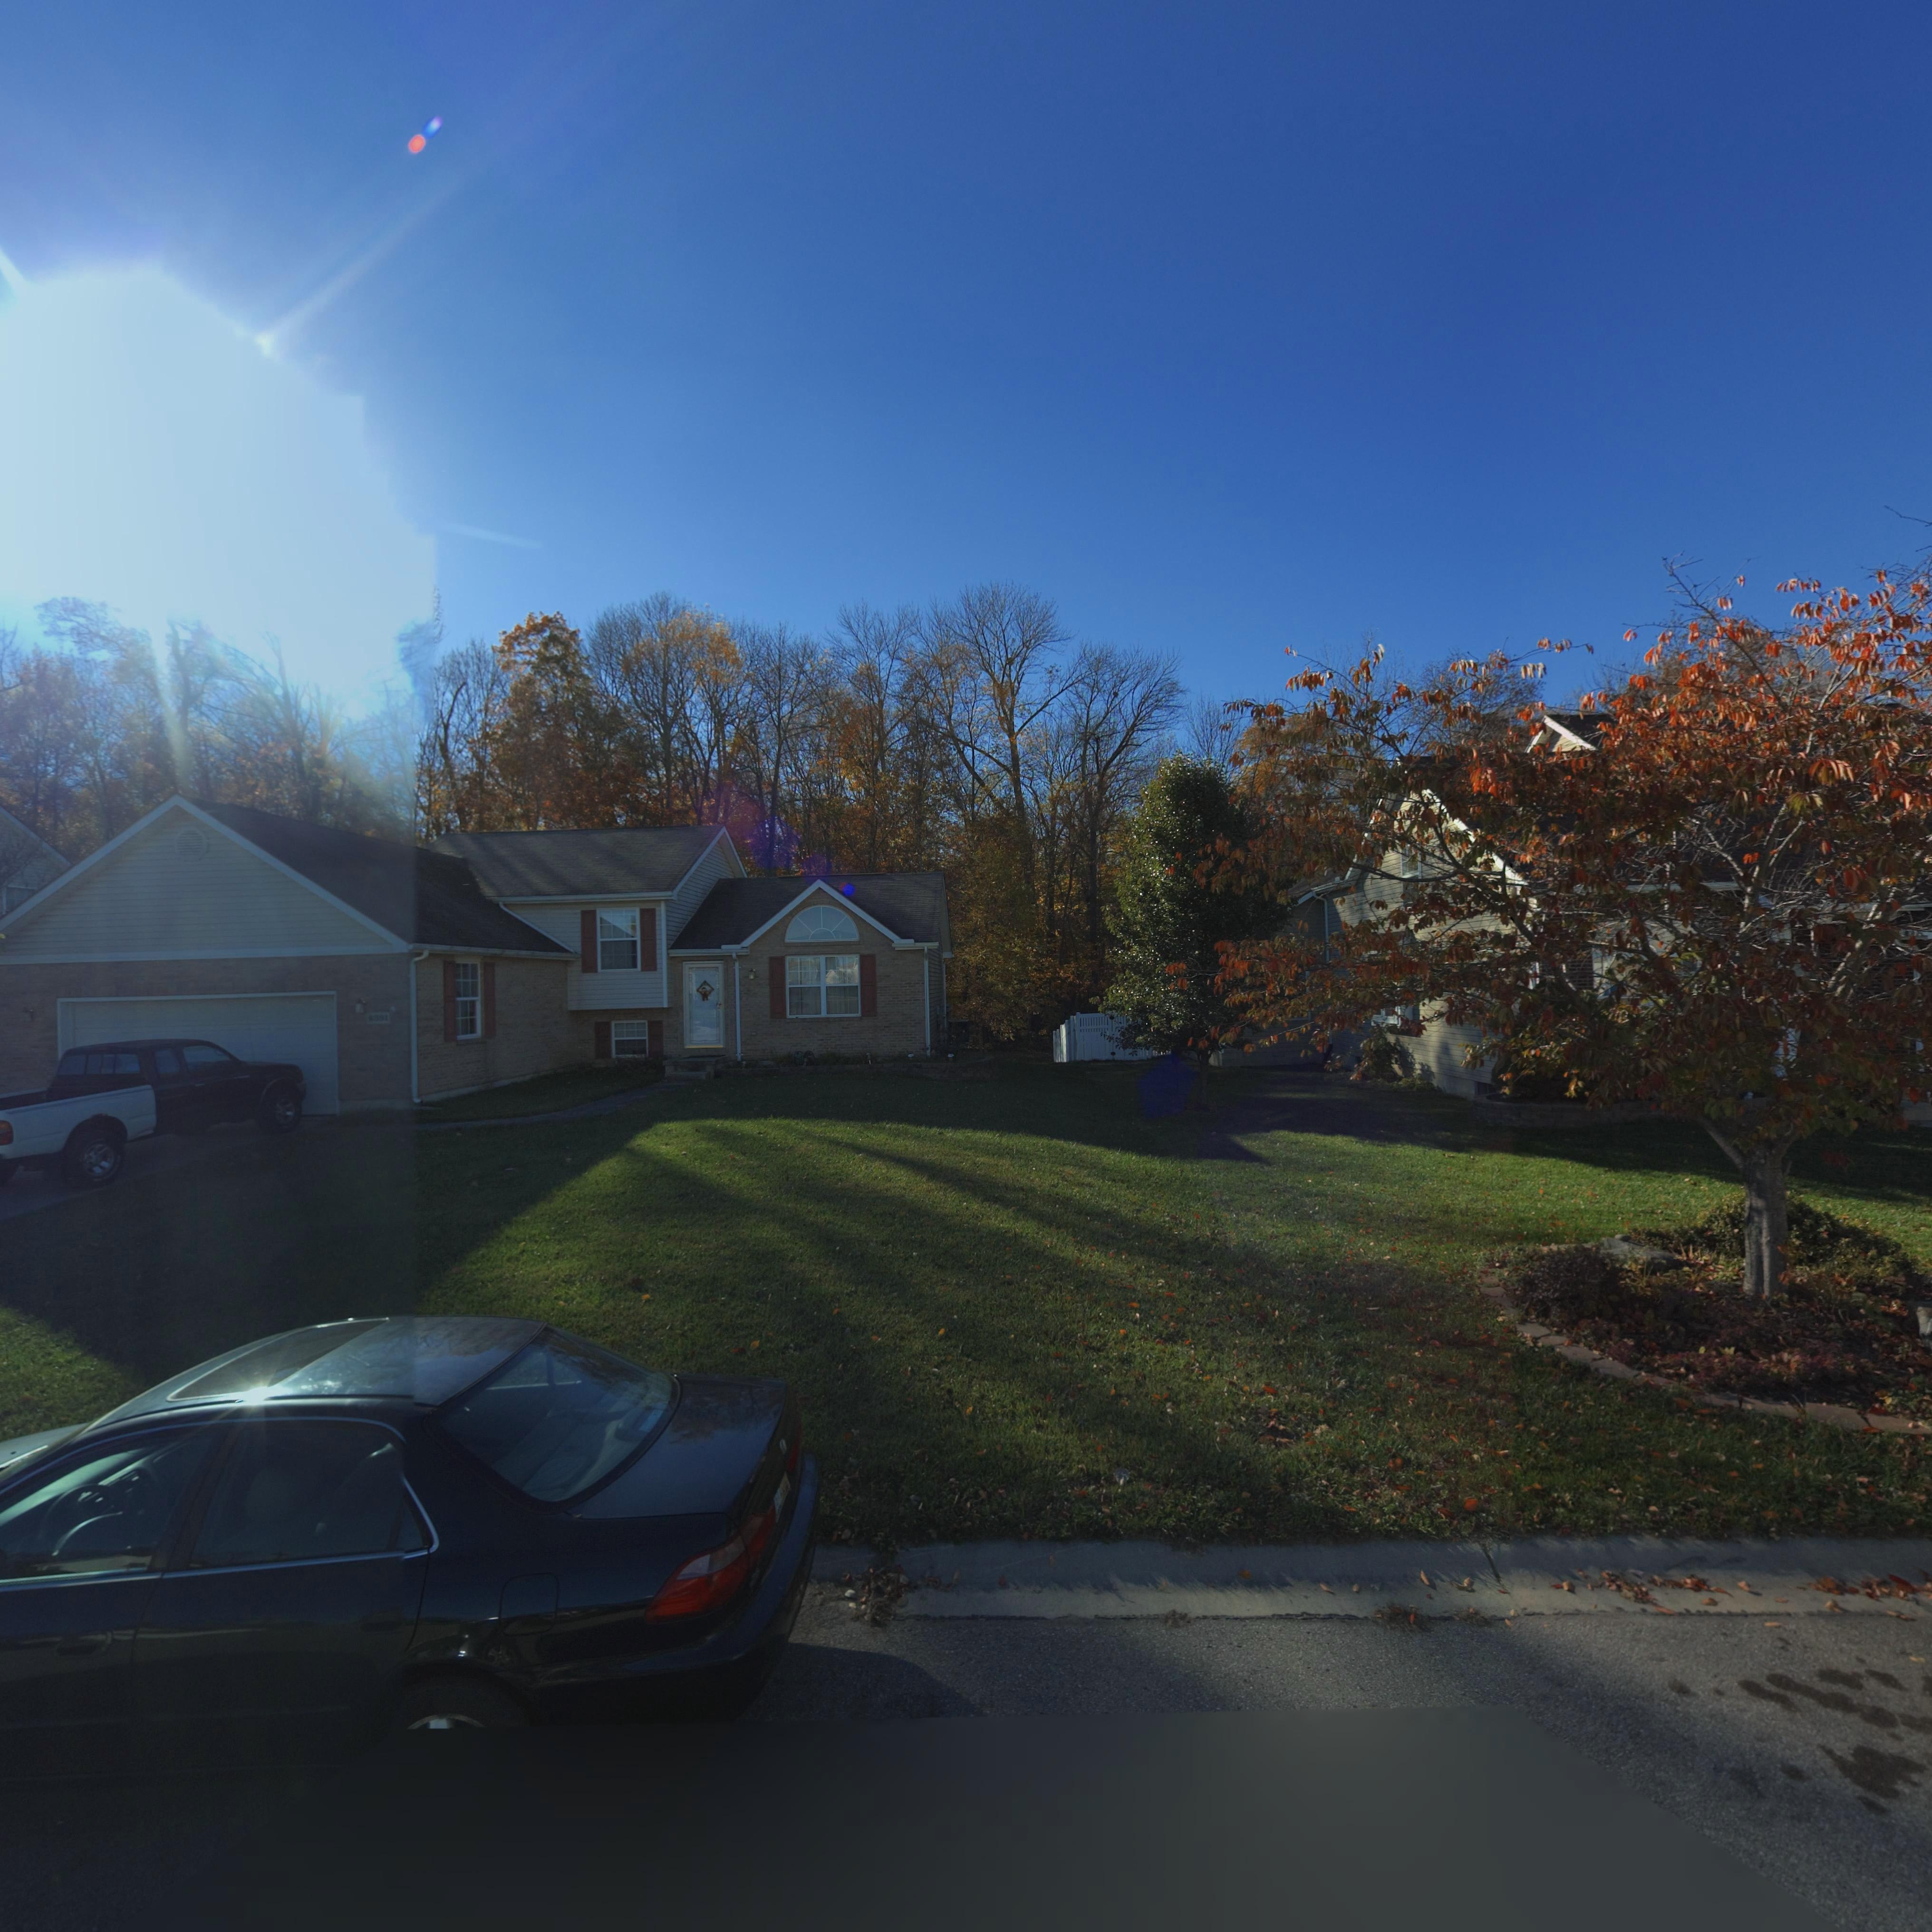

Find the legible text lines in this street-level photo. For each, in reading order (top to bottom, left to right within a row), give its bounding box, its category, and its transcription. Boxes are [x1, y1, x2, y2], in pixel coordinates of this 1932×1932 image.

[368, 1014, 389, 1022] StreetNumber: 6391